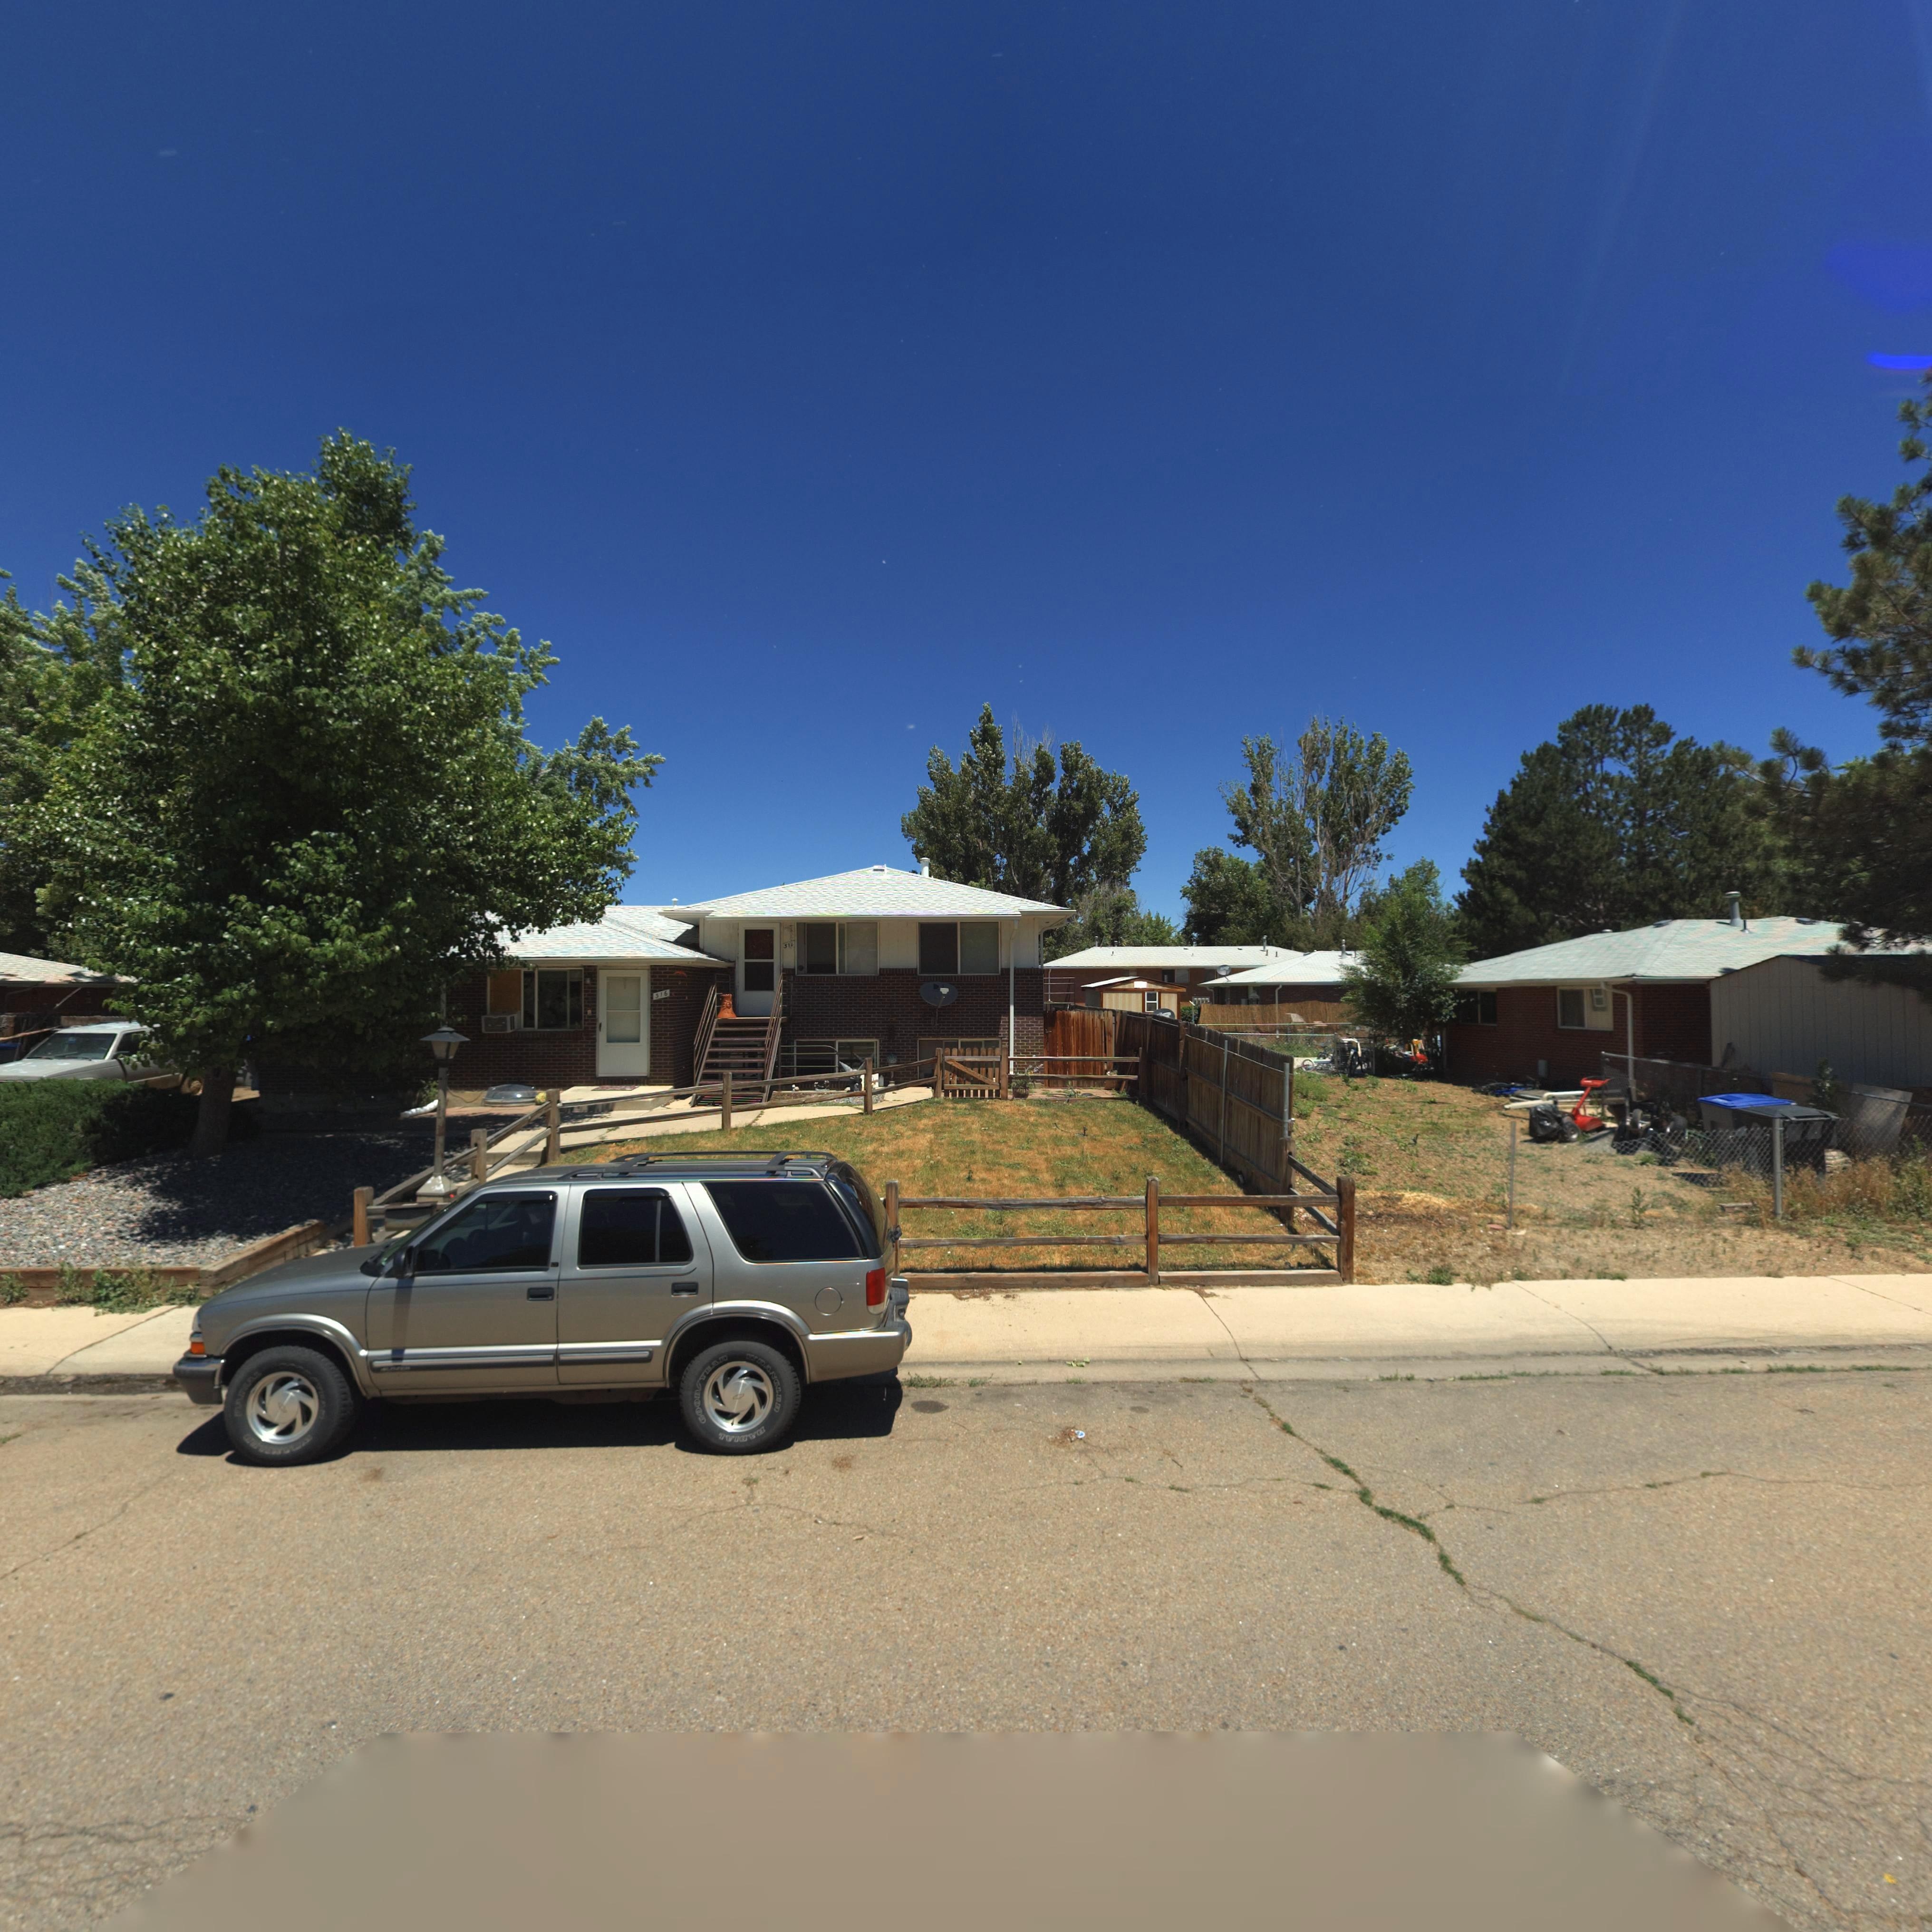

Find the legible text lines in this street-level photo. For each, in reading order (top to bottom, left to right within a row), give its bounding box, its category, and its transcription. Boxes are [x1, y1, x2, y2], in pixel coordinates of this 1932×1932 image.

[782, 941, 793, 949] StreetNumber: 31*
[655, 990, 668, 998] StreetNumber: 316